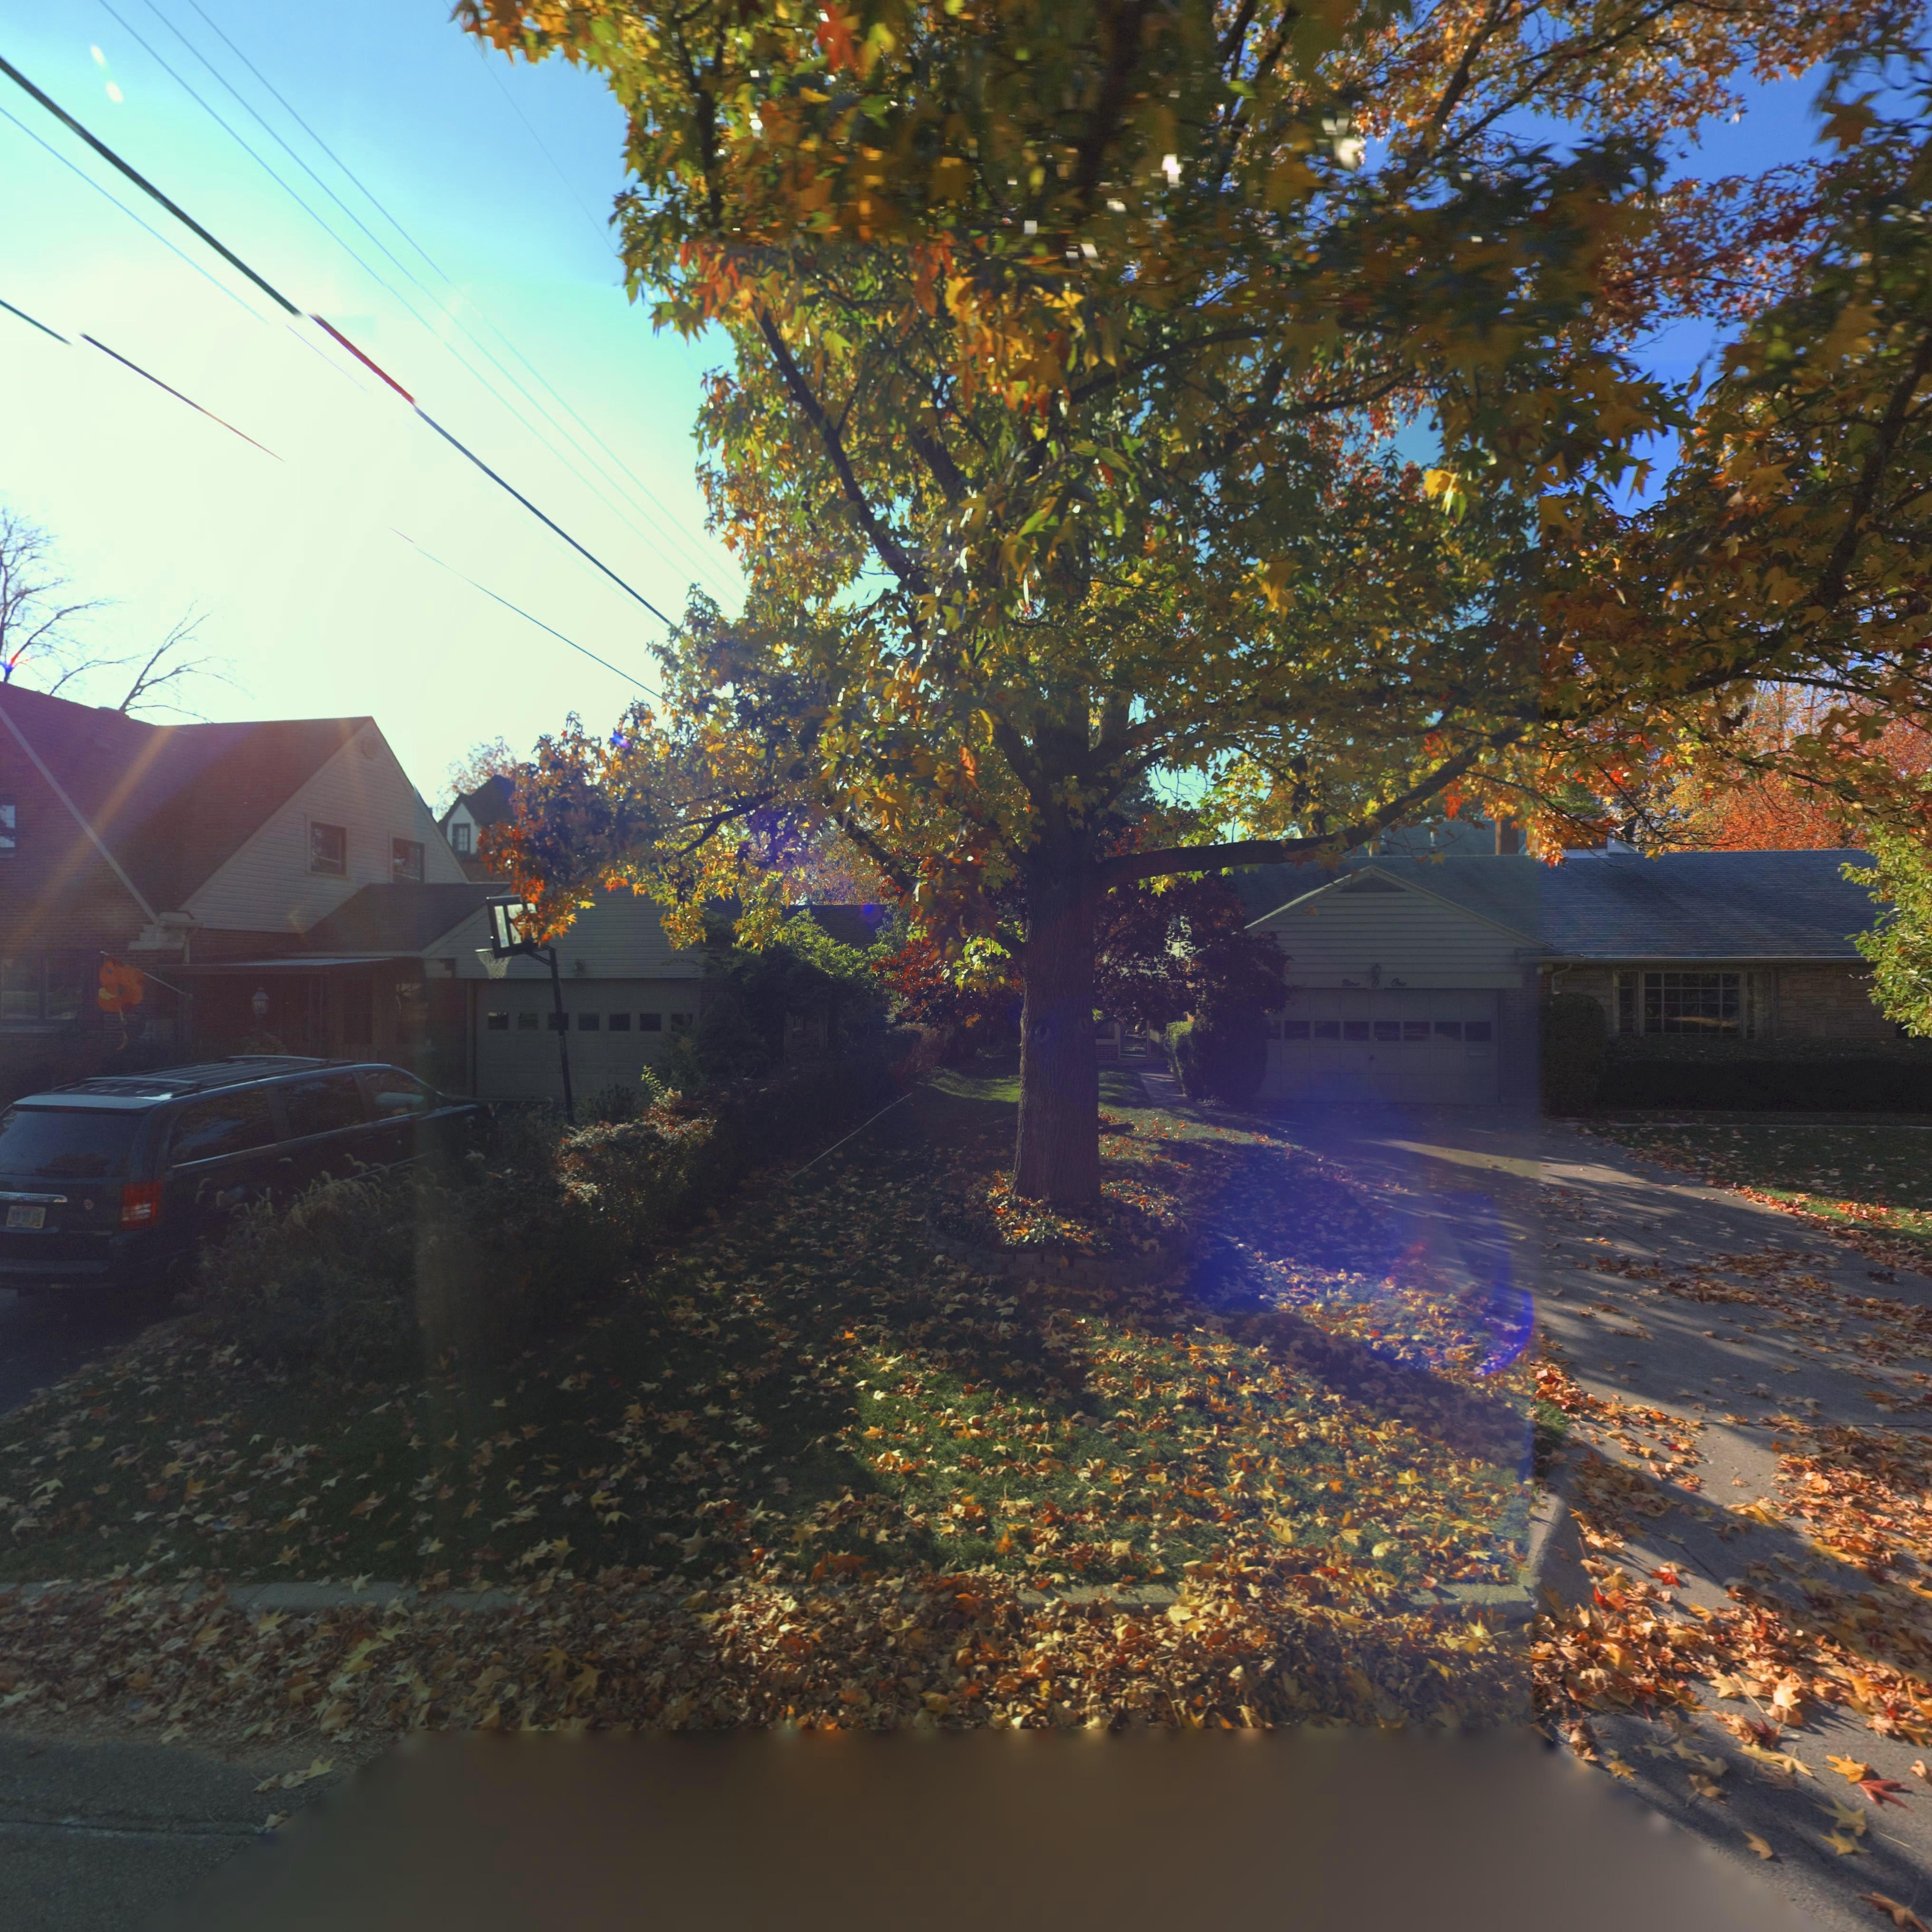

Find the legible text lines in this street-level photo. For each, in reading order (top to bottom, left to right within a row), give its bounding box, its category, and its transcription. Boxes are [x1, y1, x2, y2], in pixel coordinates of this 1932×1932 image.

[1341, 977, 1407, 988] StreetNumber: Nine 0 One